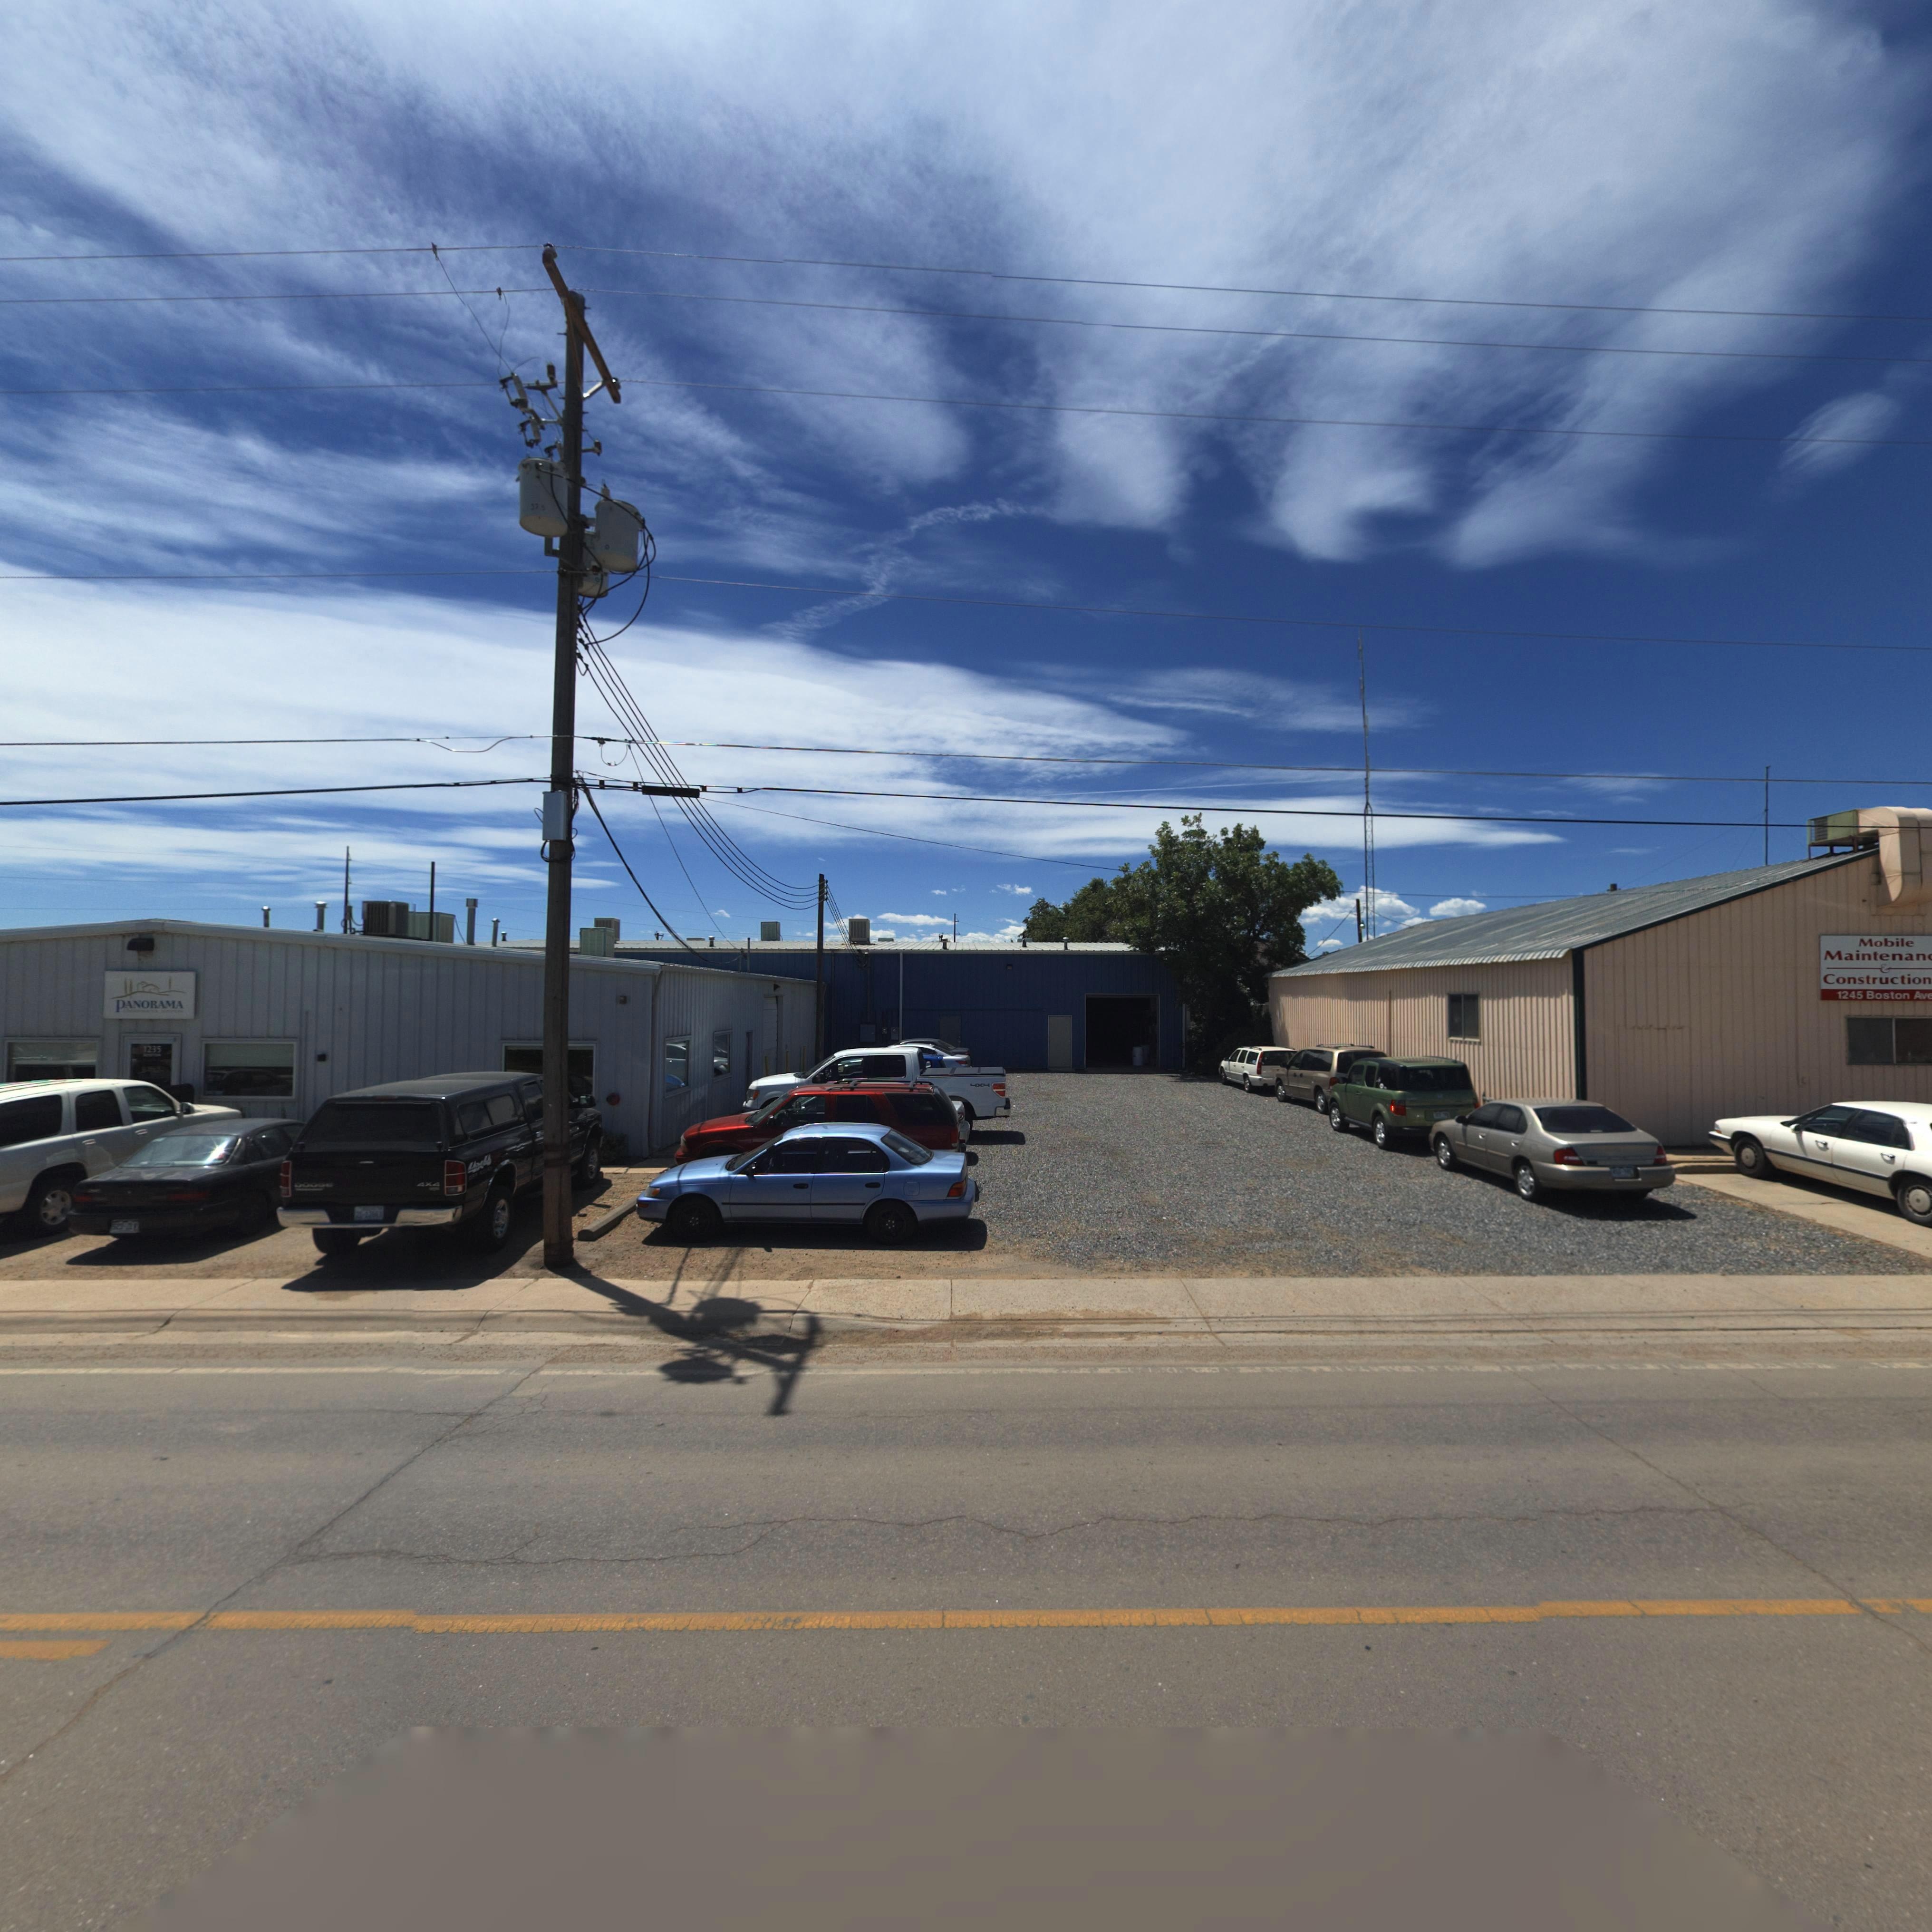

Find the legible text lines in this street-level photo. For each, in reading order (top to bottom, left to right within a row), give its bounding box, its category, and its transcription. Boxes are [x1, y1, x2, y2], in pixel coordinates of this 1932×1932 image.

[1857, 937, 1914, 947] BusinessName: Mobile
[1823, 949, 1927, 961] BusinessName: Maintenan
[1823, 973, 1931, 985] BusinessName: Construction
[1835, 990, 1864, 999] StreetNumber: 1245
[1866, 990, 1927, 1000] StreetName: Boston Av
[114, 998, 184, 1013] BusinessName: PANORAMA
[143, 1045, 161, 1053] StreetNumber: 1235